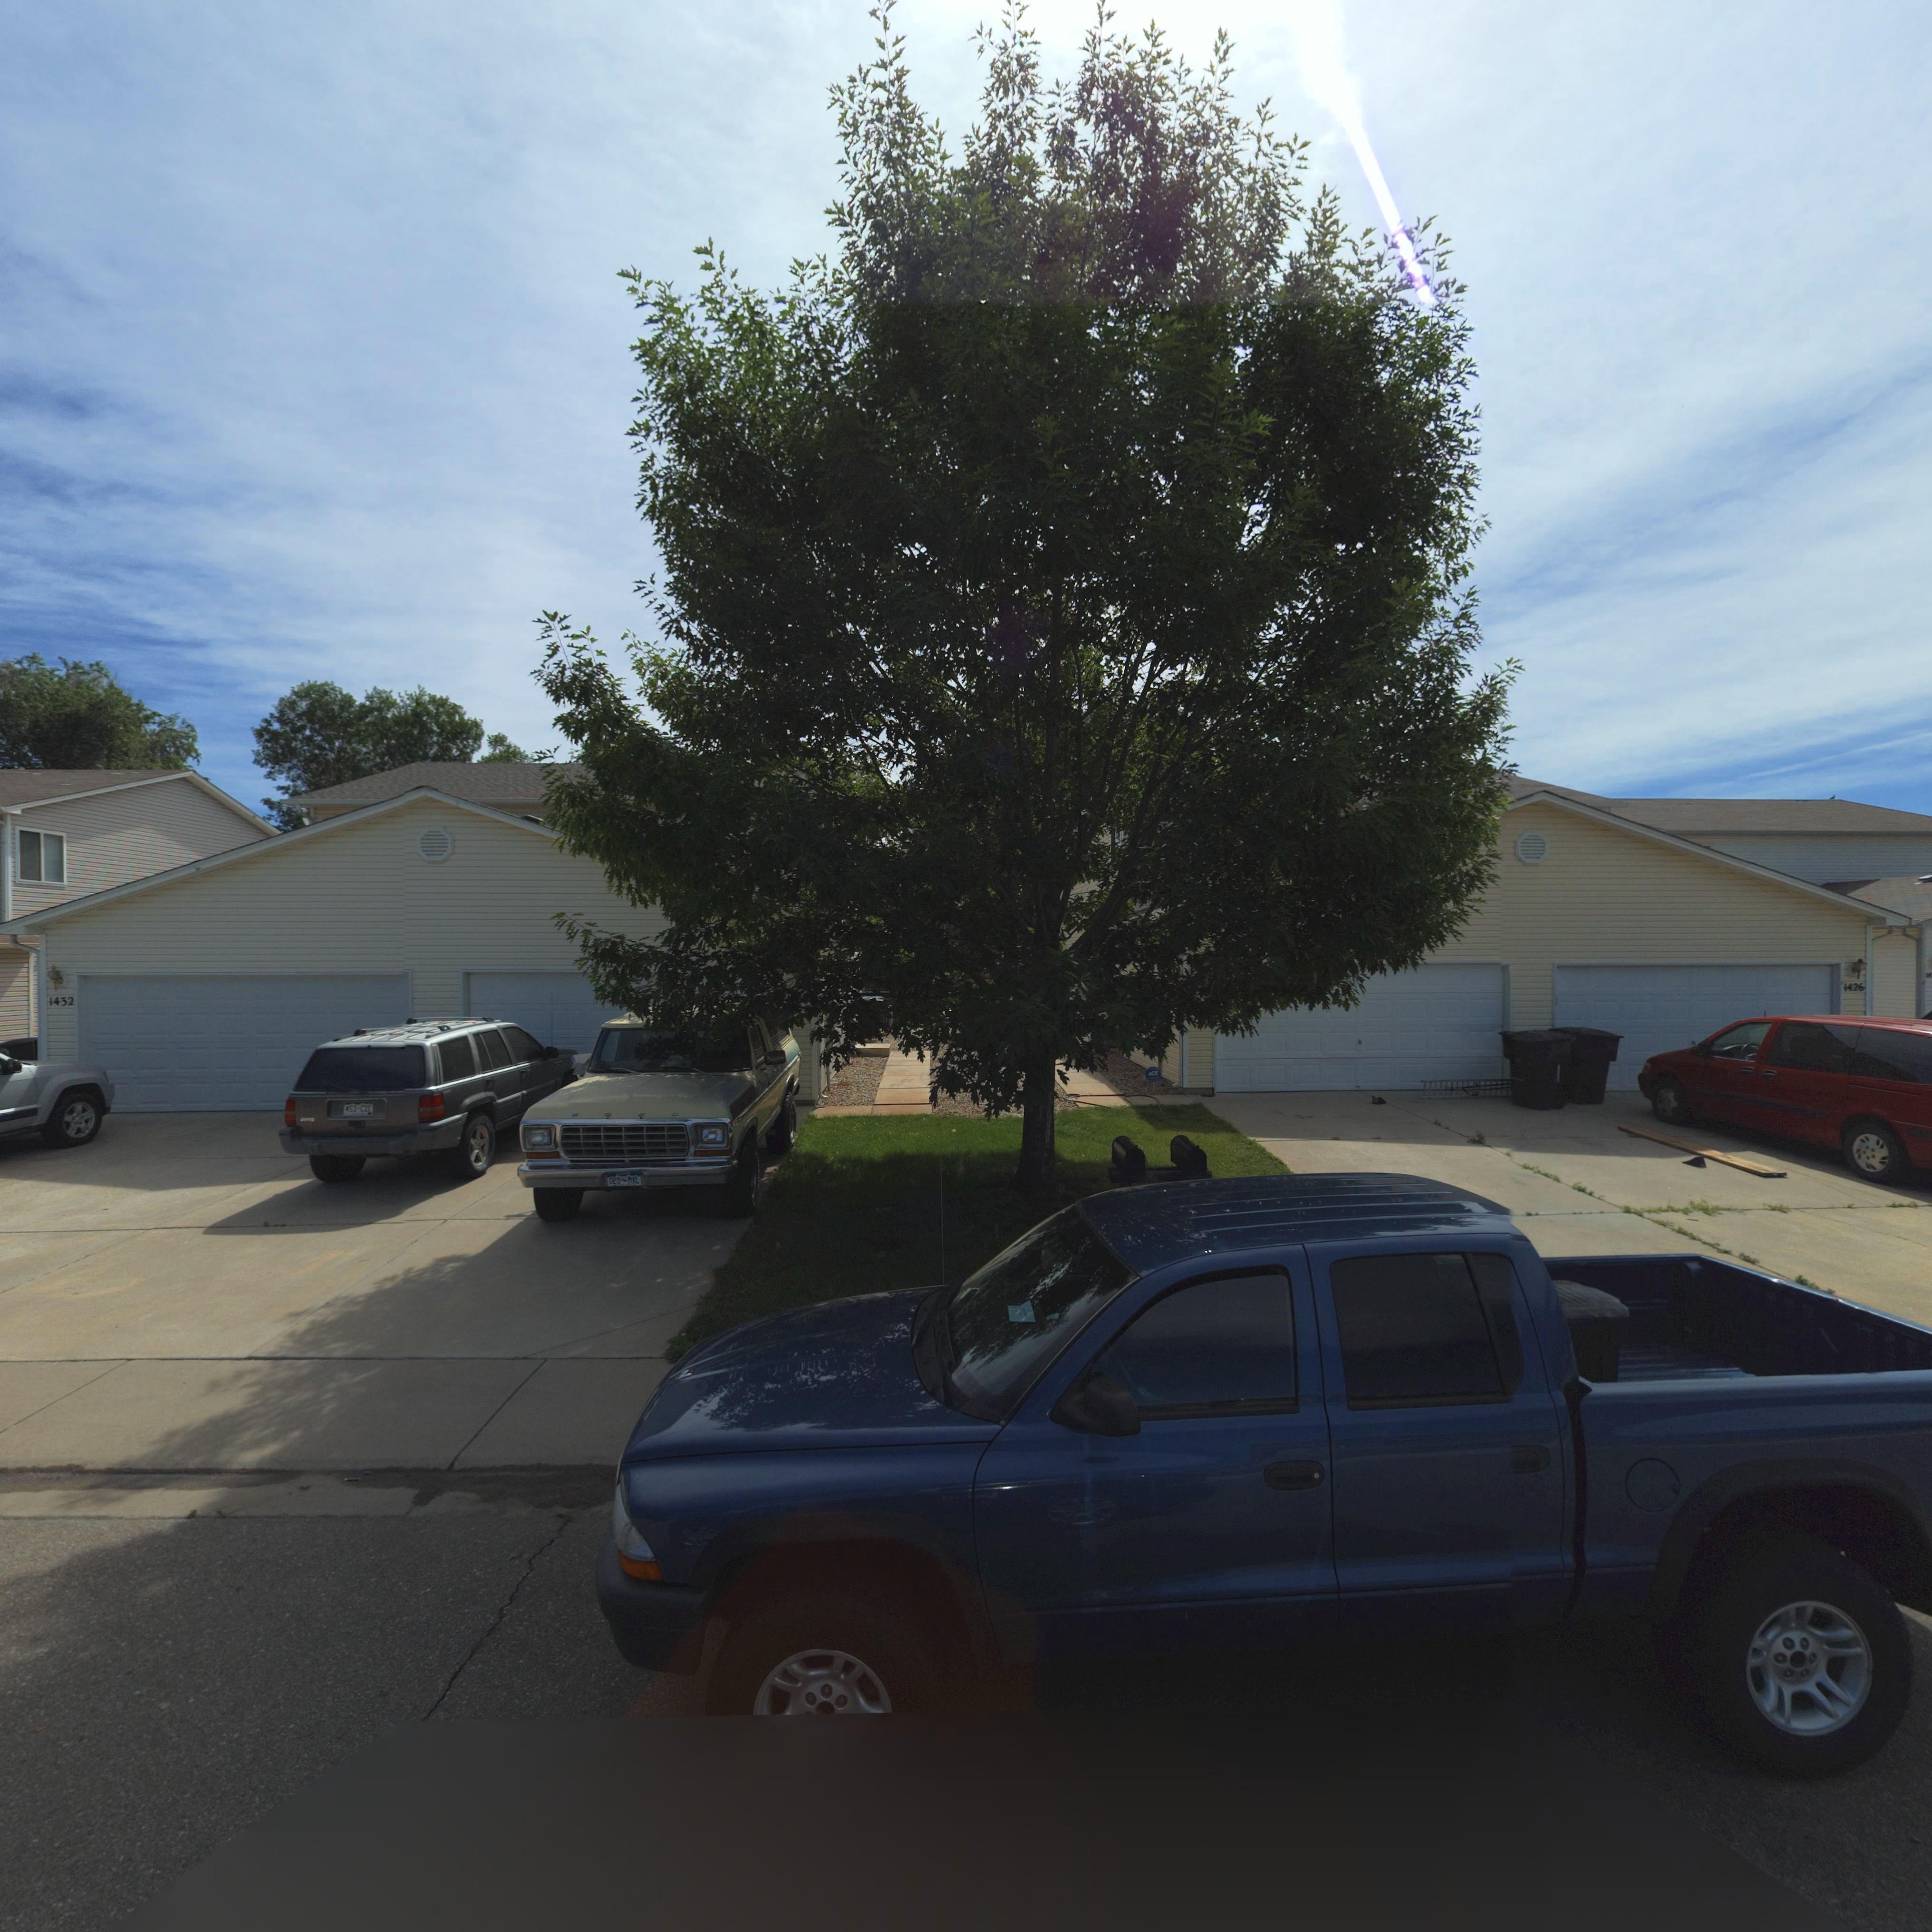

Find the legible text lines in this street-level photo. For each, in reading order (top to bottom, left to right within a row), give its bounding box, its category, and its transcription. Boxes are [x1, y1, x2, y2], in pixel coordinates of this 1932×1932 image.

[1844, 983, 1864, 991] StreetNumber: 1426
[49, 996, 74, 1005] StreetNumber: 1432